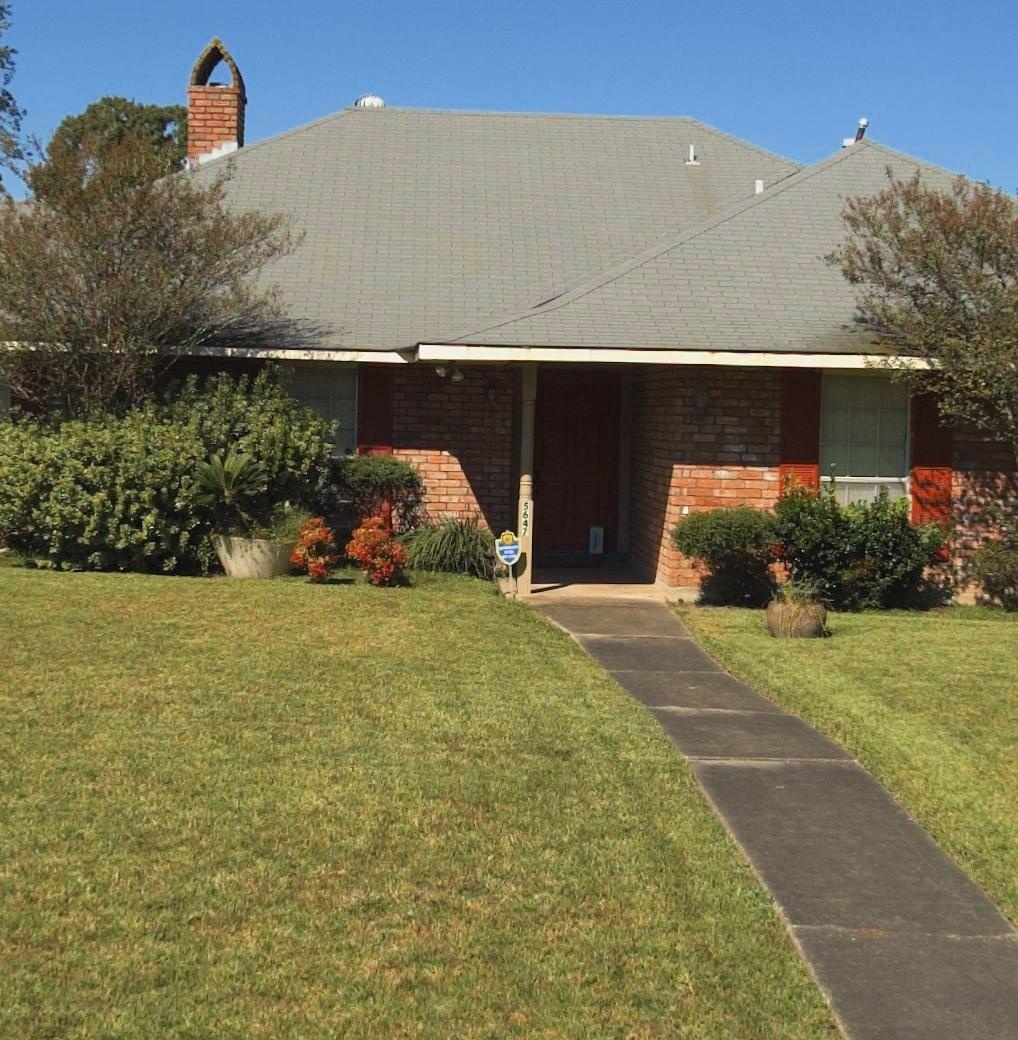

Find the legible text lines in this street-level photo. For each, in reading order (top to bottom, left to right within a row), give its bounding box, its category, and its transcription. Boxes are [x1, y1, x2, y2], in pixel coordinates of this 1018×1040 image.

[520, 499, 531, 538] StreetNumber: 5647